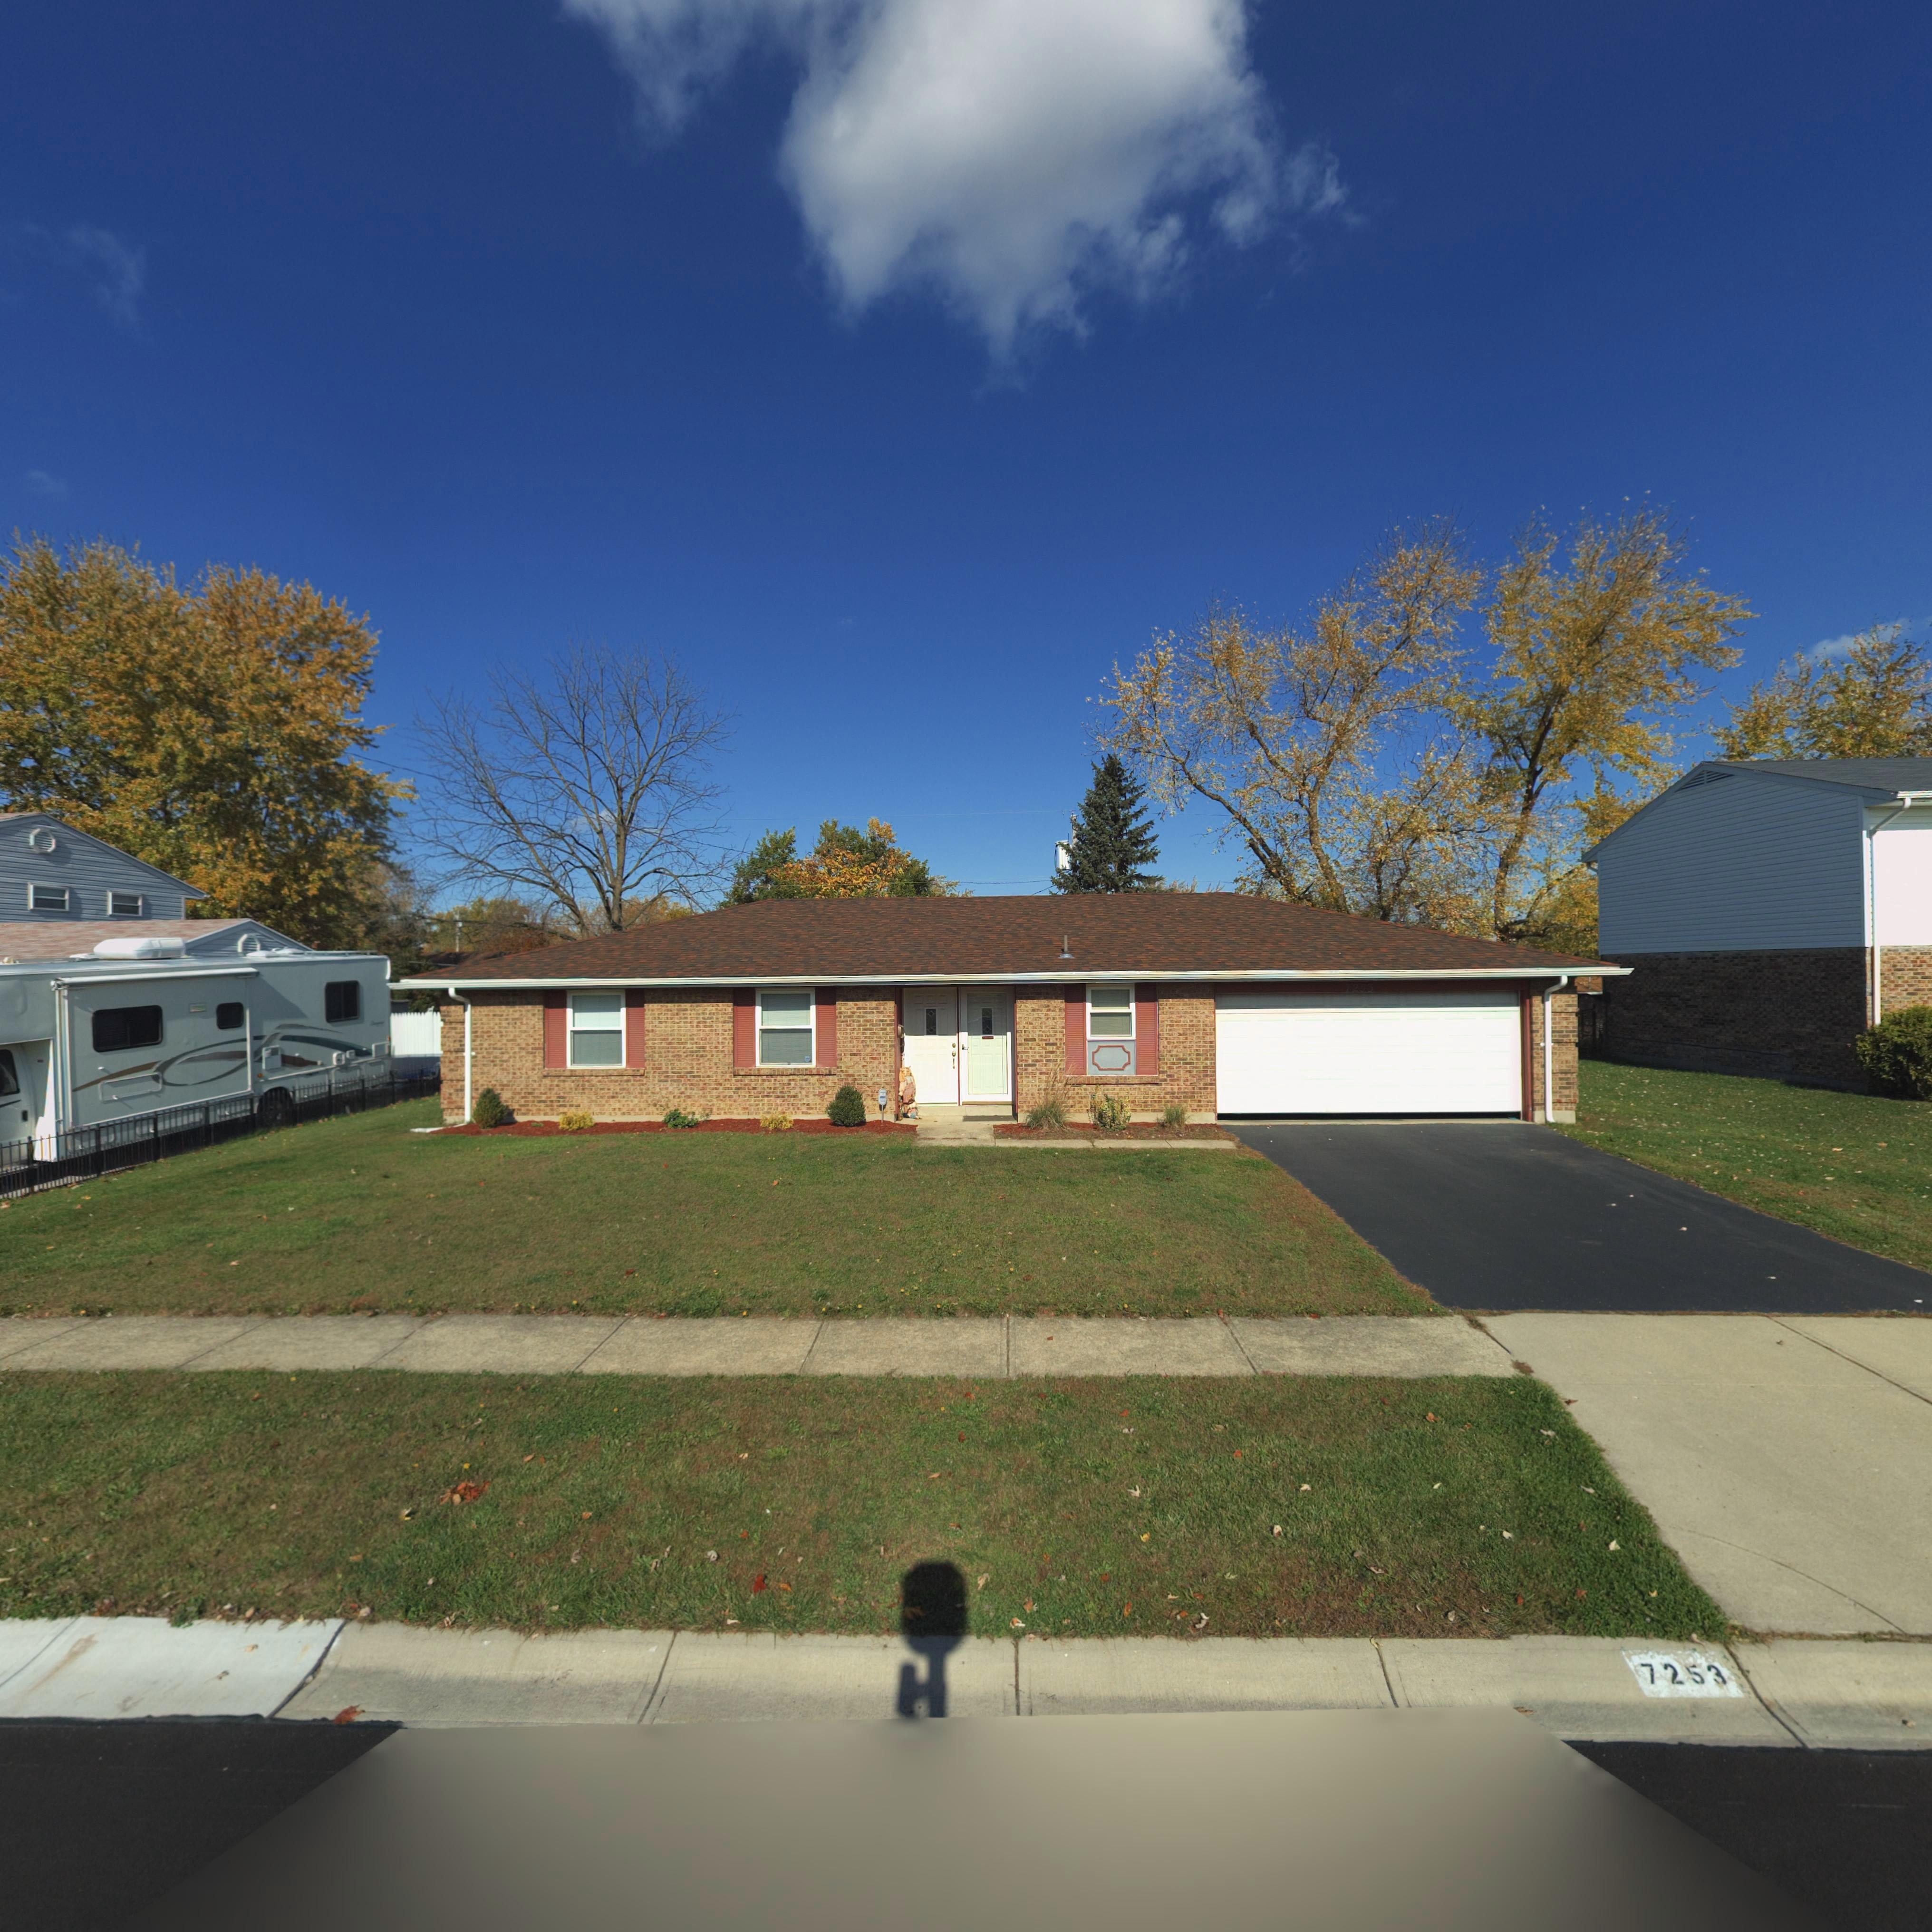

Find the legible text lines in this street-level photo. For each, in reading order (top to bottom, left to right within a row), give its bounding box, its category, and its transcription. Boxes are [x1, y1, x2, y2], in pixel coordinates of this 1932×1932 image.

[1638, 1662, 1729, 1686] StreetNumber: 72*3